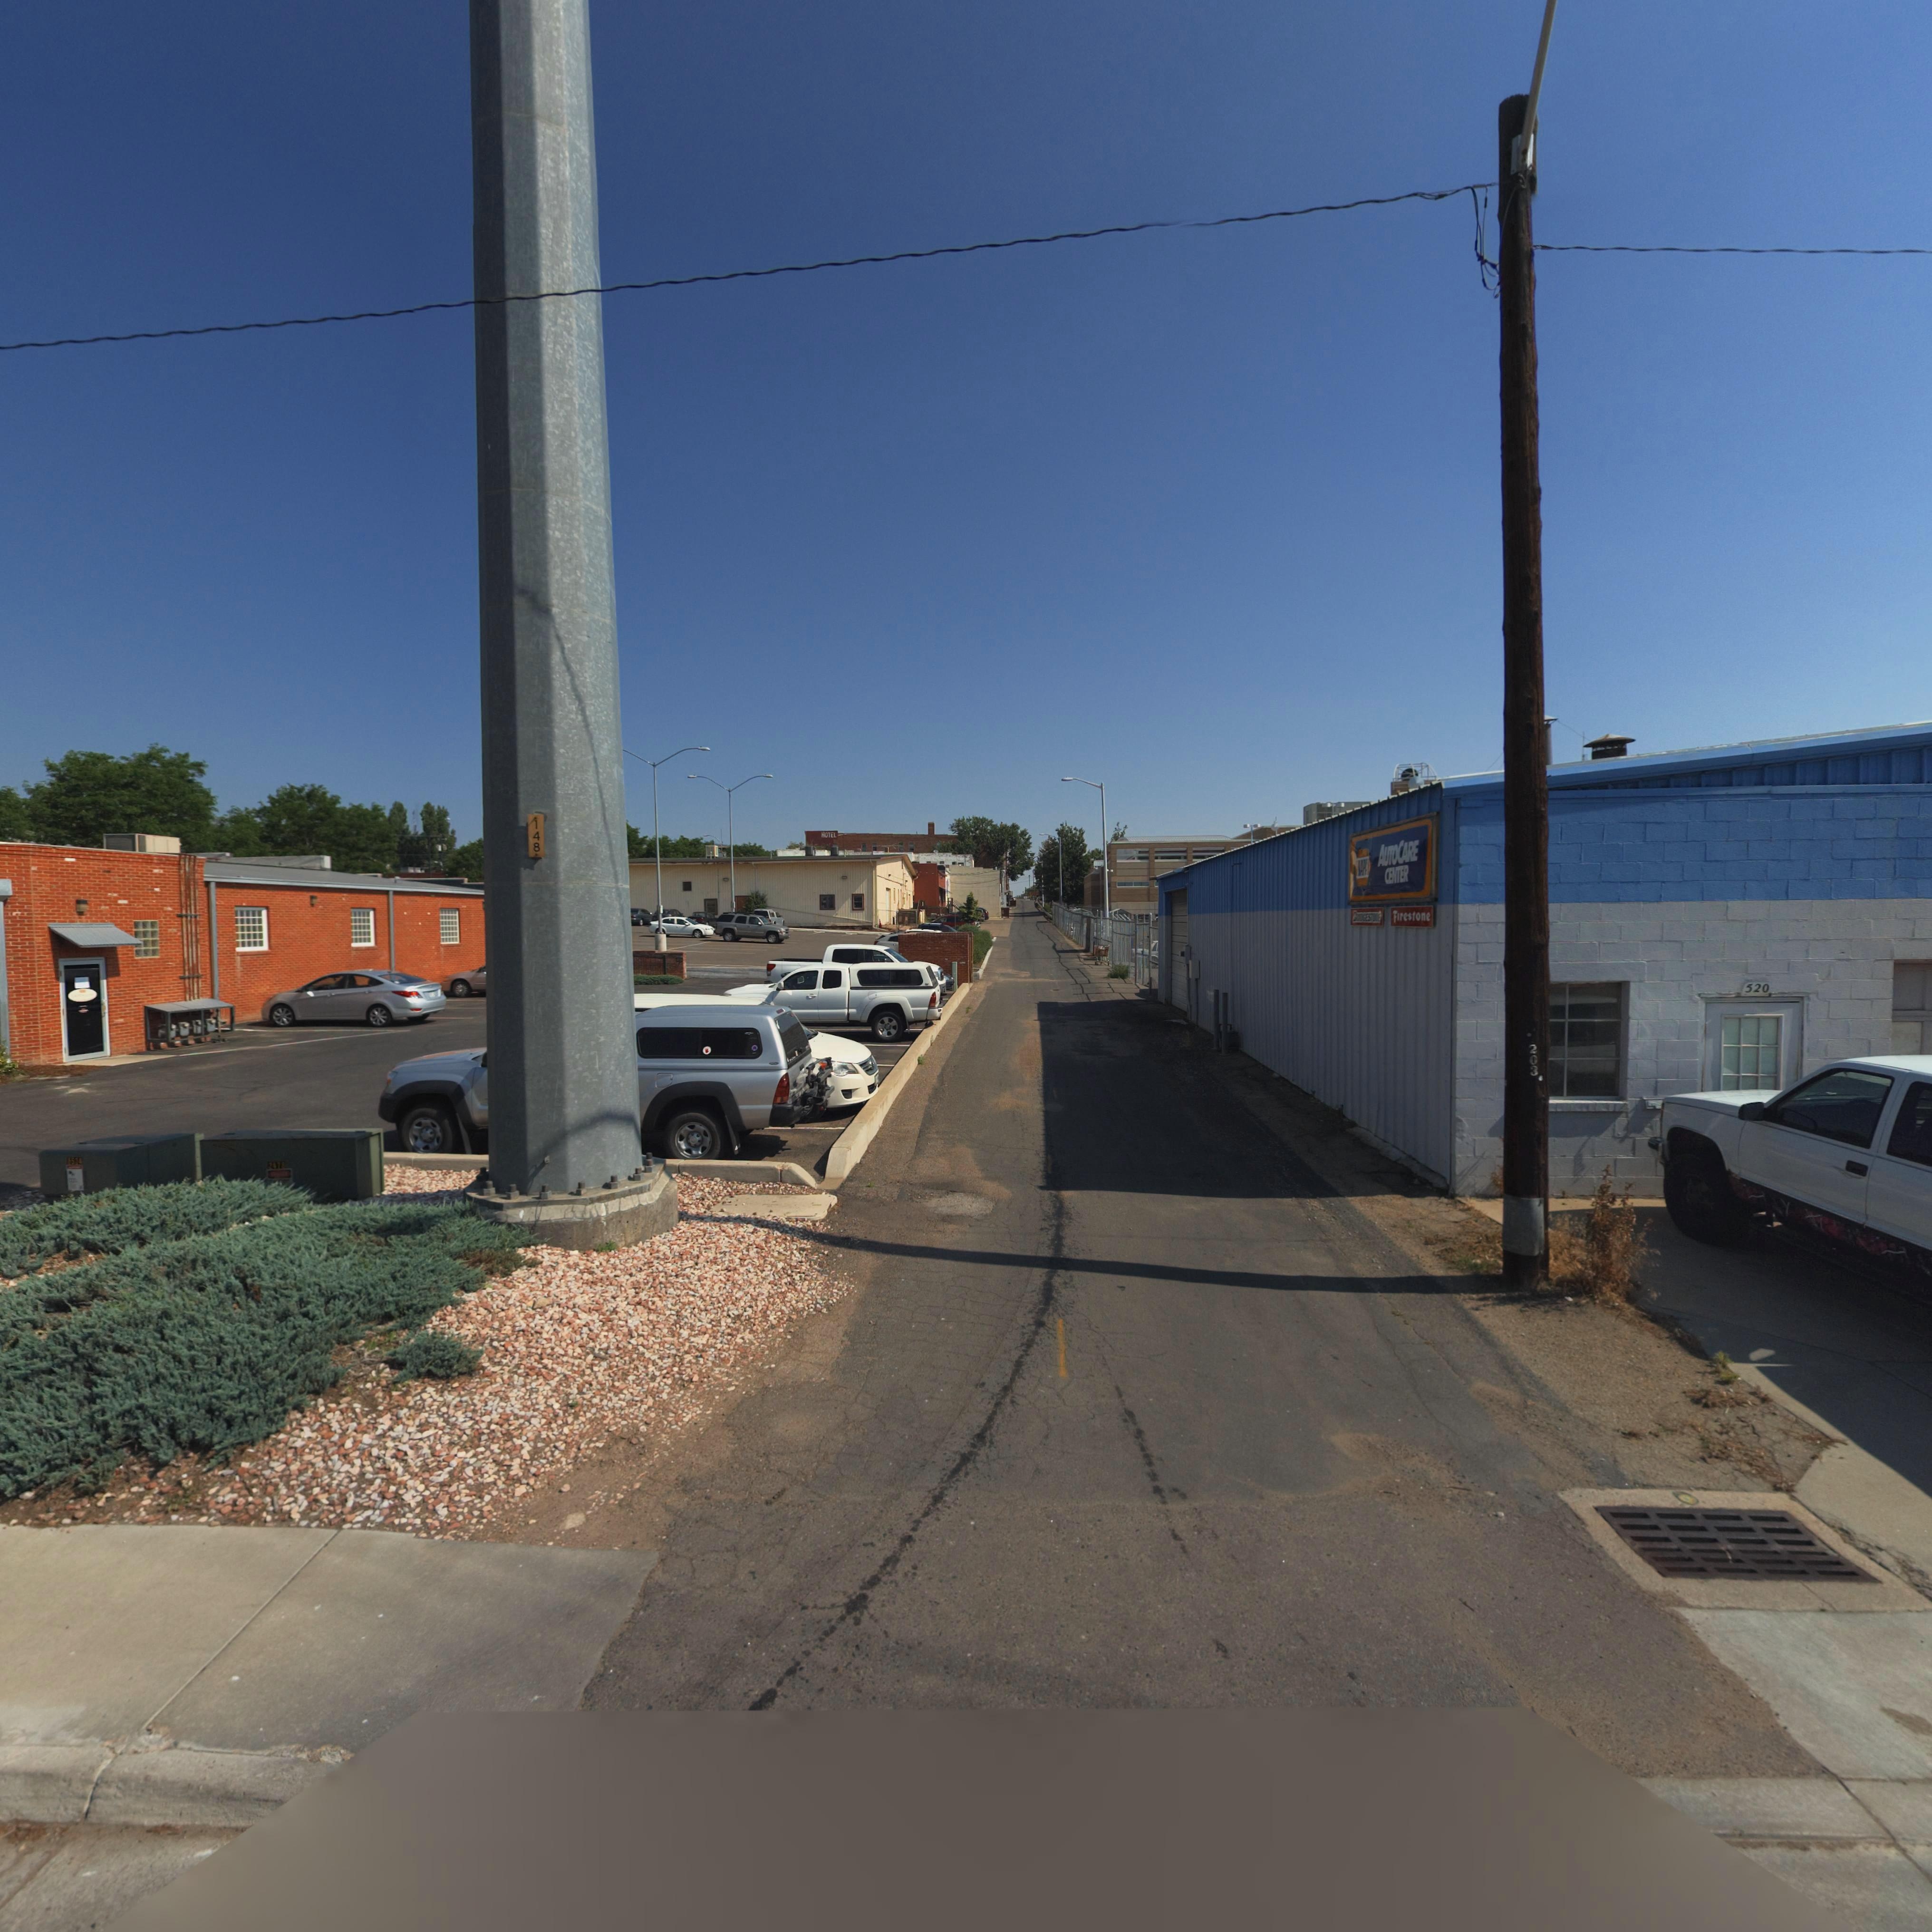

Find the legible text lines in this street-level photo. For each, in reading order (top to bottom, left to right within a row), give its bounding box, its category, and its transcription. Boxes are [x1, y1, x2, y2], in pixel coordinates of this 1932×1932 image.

[1376, 838, 1420, 866] BusinessName: AUTOCARE
[1357, 858, 1369, 877] BusinessName: NAPA
[1383, 864, 1410, 884] BusinessName: CENTER
[1743, 982, 1771, 994] StreetNumber: 520